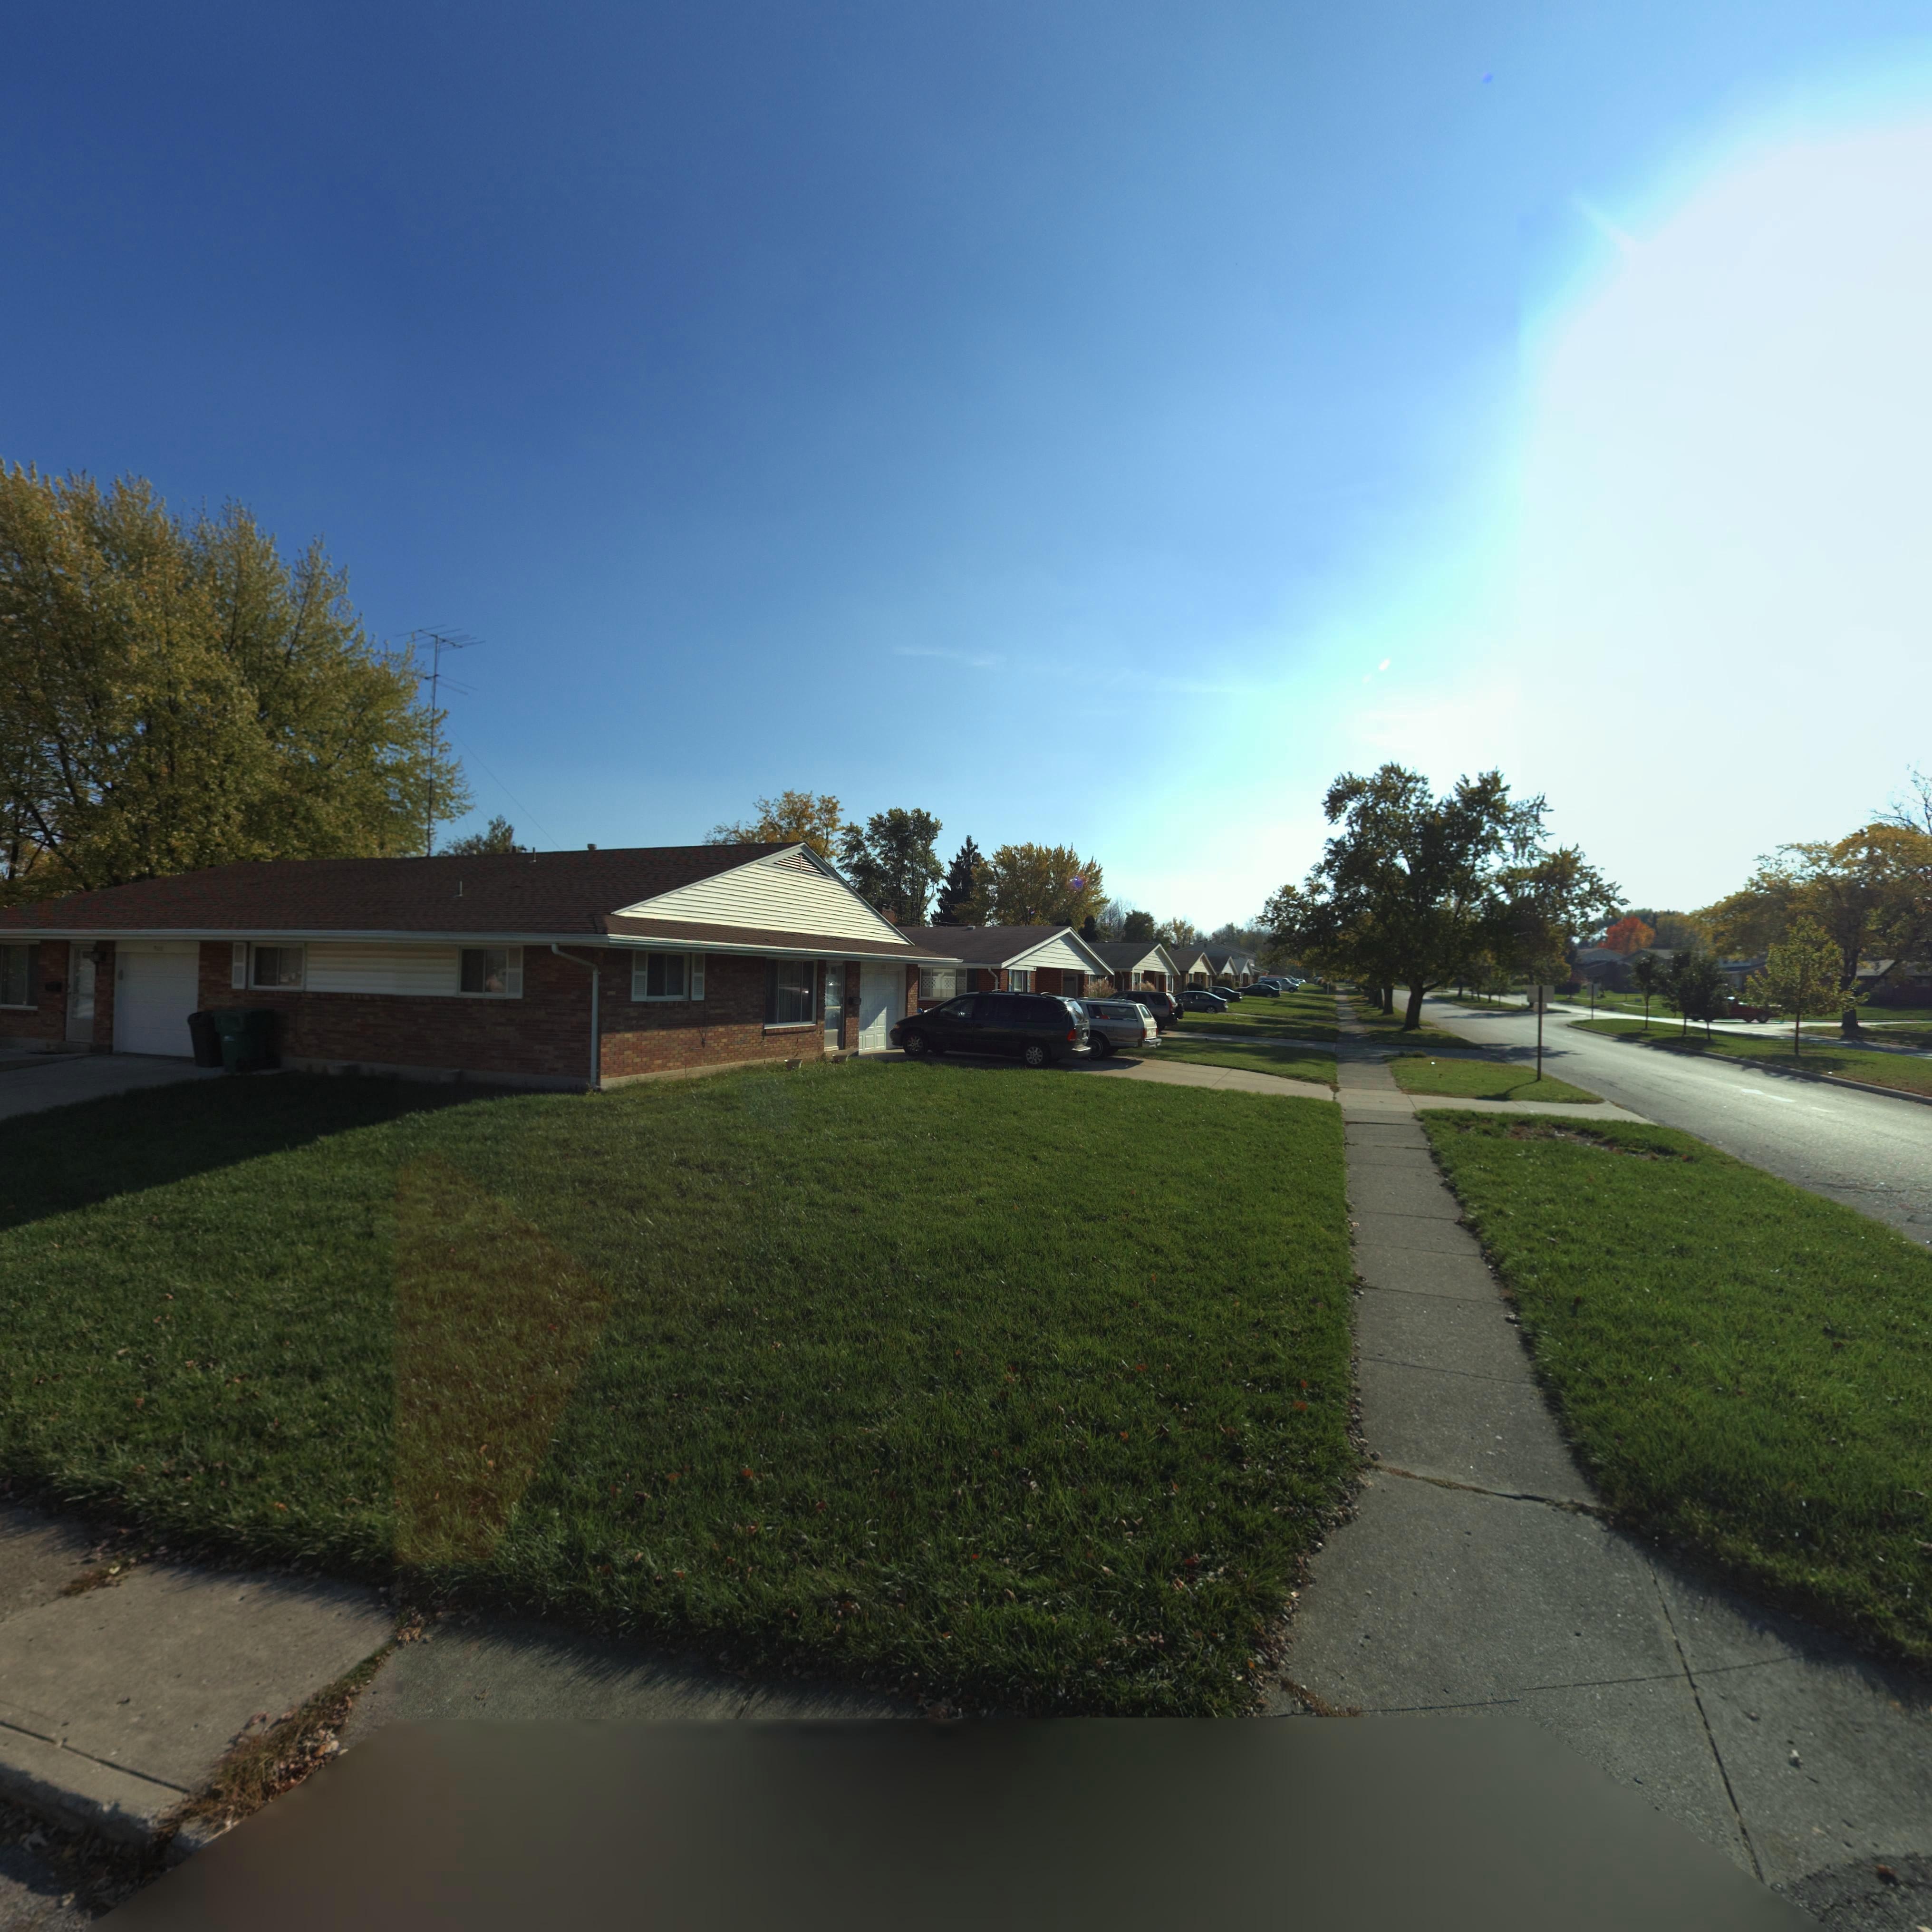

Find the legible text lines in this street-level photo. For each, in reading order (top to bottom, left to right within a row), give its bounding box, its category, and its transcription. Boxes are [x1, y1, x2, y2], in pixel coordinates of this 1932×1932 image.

[153, 944, 164, 951] StreetNumber: 900